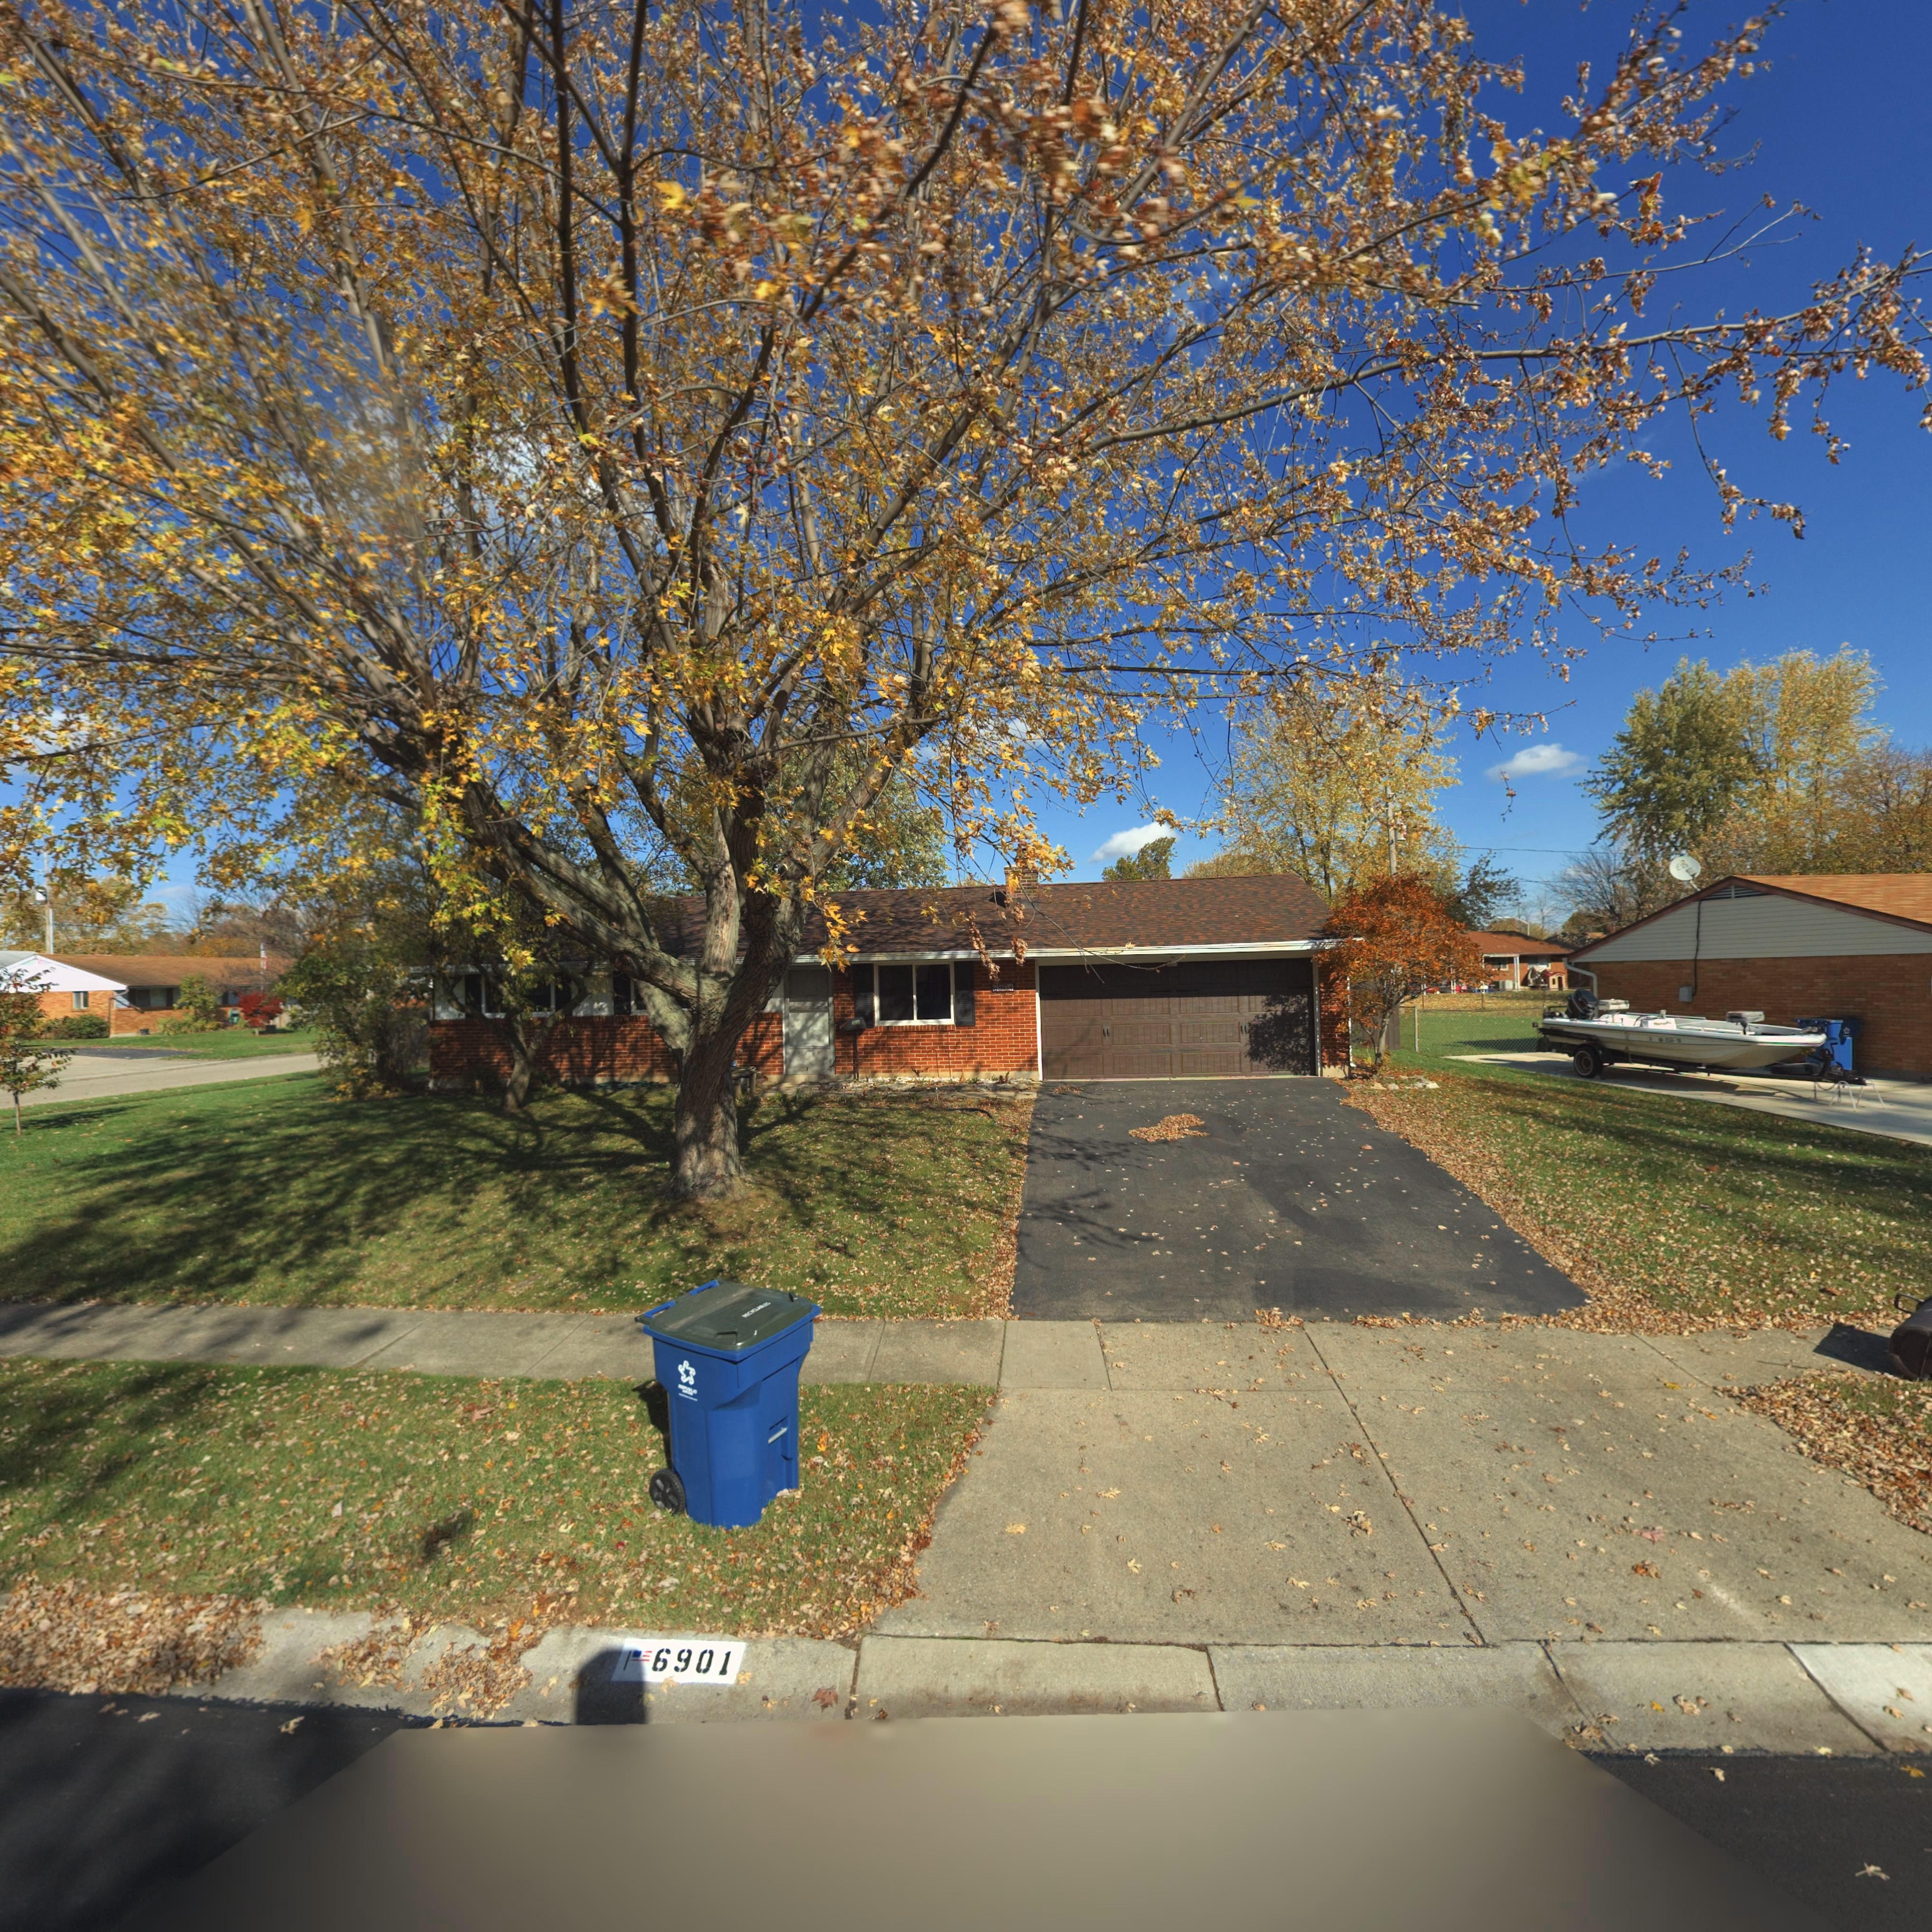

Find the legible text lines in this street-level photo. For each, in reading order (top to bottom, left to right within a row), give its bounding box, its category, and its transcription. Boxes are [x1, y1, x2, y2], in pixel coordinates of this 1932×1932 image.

[992, 983, 1014, 993] StreetNumber: **0*
[650, 1645, 734, 1677] StreetNumber: 6901